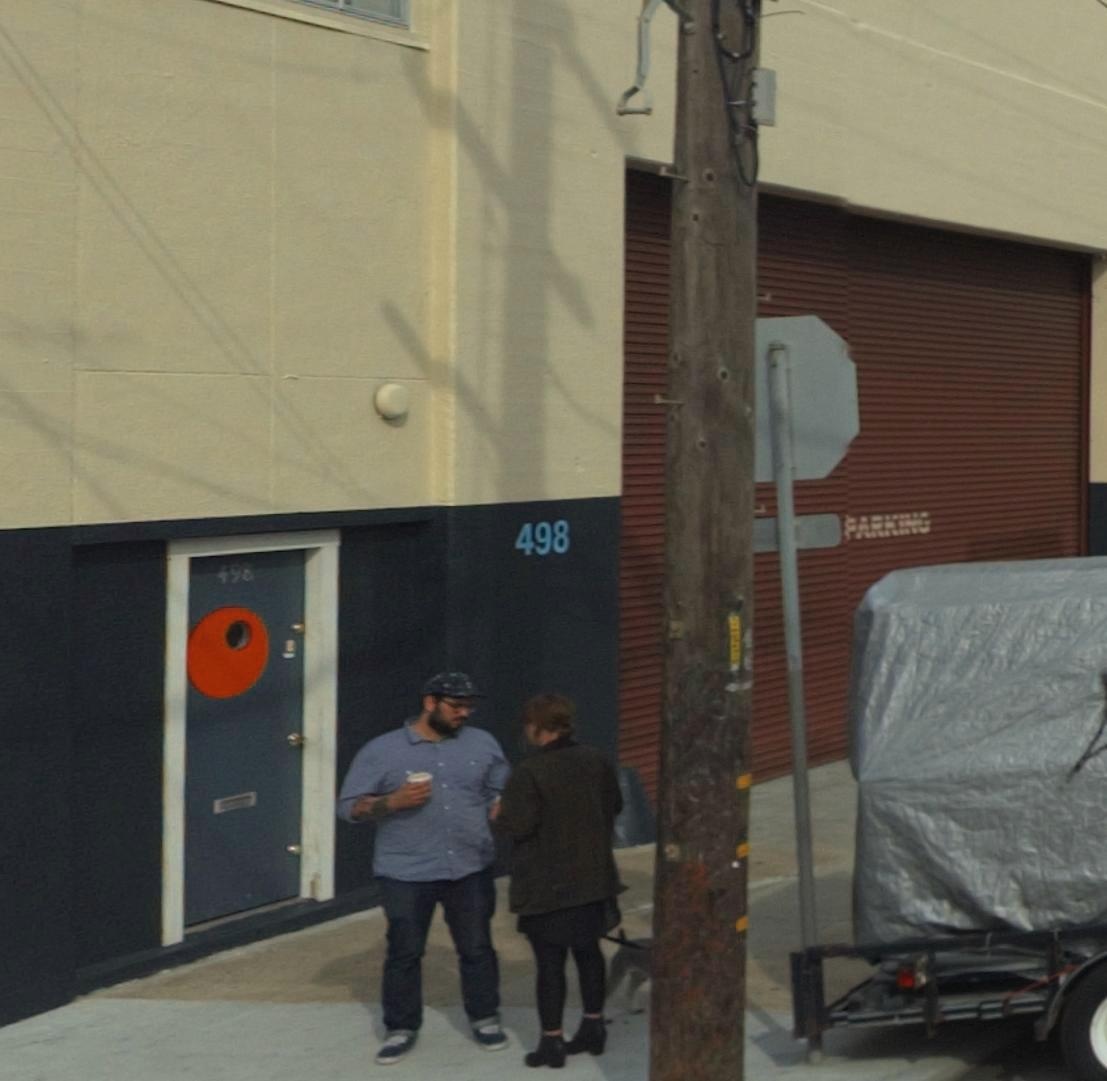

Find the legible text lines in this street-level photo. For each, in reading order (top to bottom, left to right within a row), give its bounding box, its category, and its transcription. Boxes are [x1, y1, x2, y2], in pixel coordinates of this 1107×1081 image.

[511, 517, 572, 558] StreetNumber: 498
[845, 509, 935, 543] None: PARKING
[215, 560, 256, 586] StreetNumber: 498